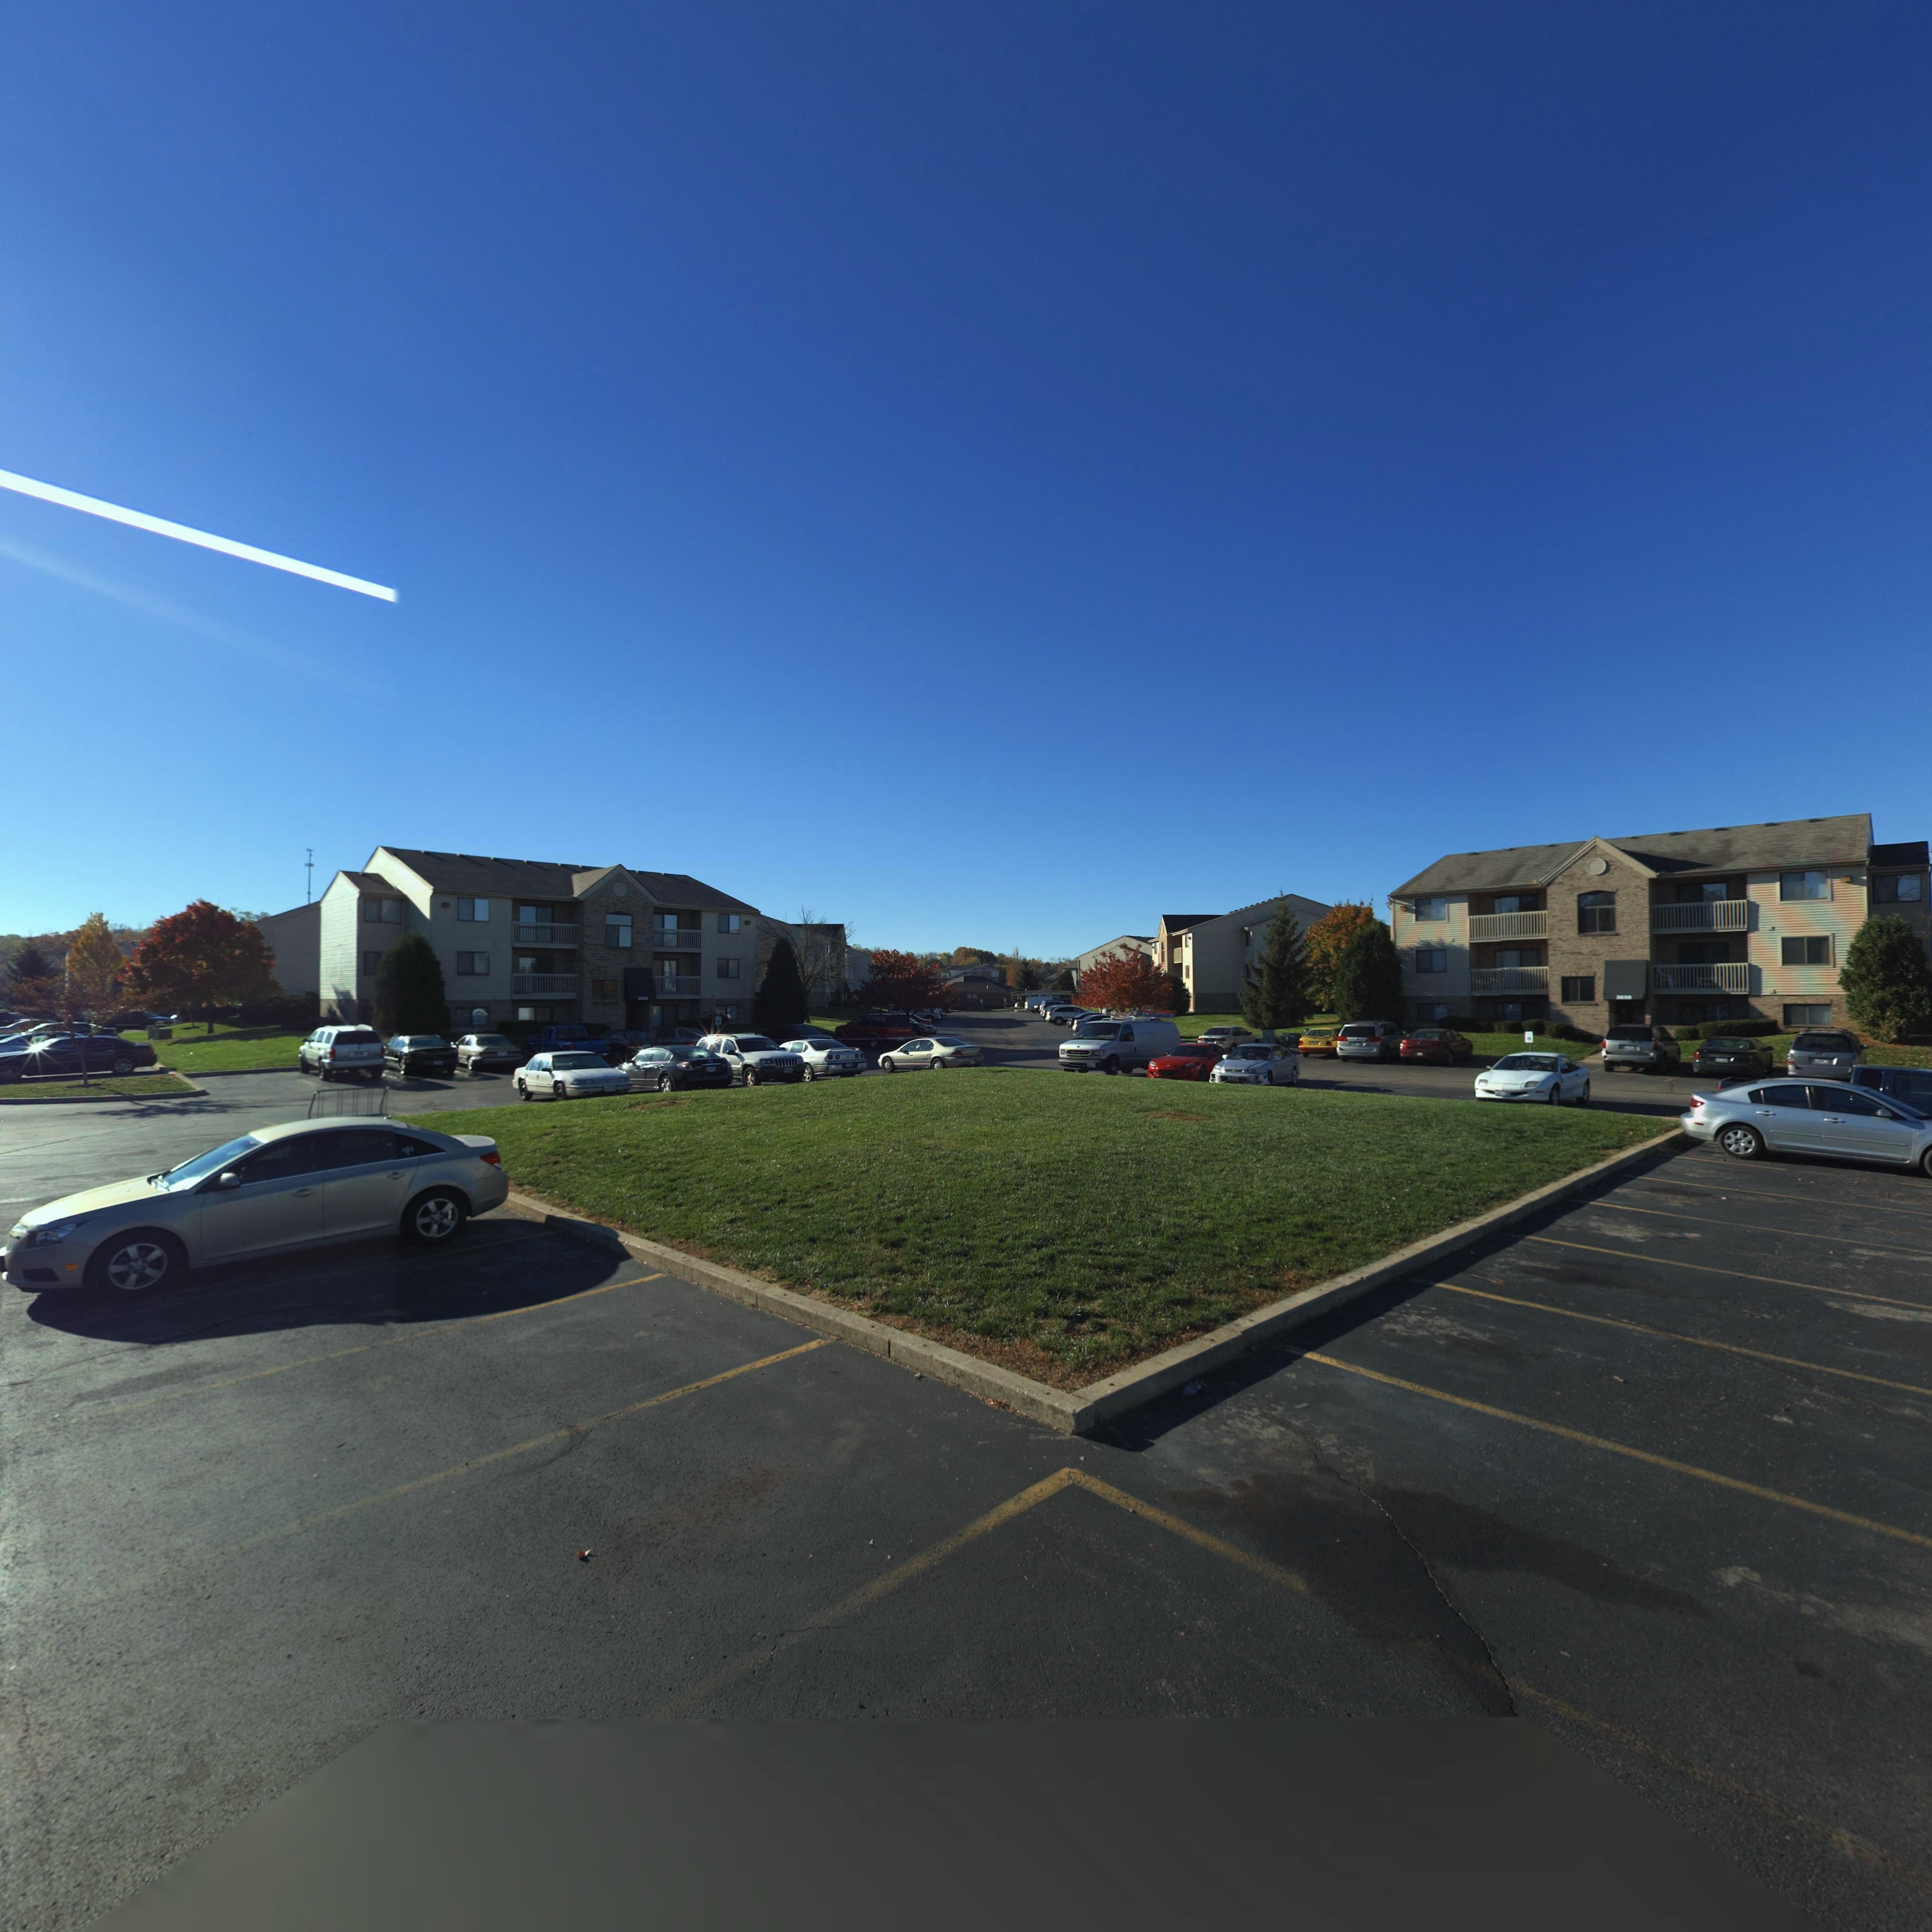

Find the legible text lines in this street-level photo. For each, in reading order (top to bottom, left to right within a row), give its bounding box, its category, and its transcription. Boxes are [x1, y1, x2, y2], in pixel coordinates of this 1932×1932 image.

[1615, 995, 1633, 1000] StreetNumber: 265*